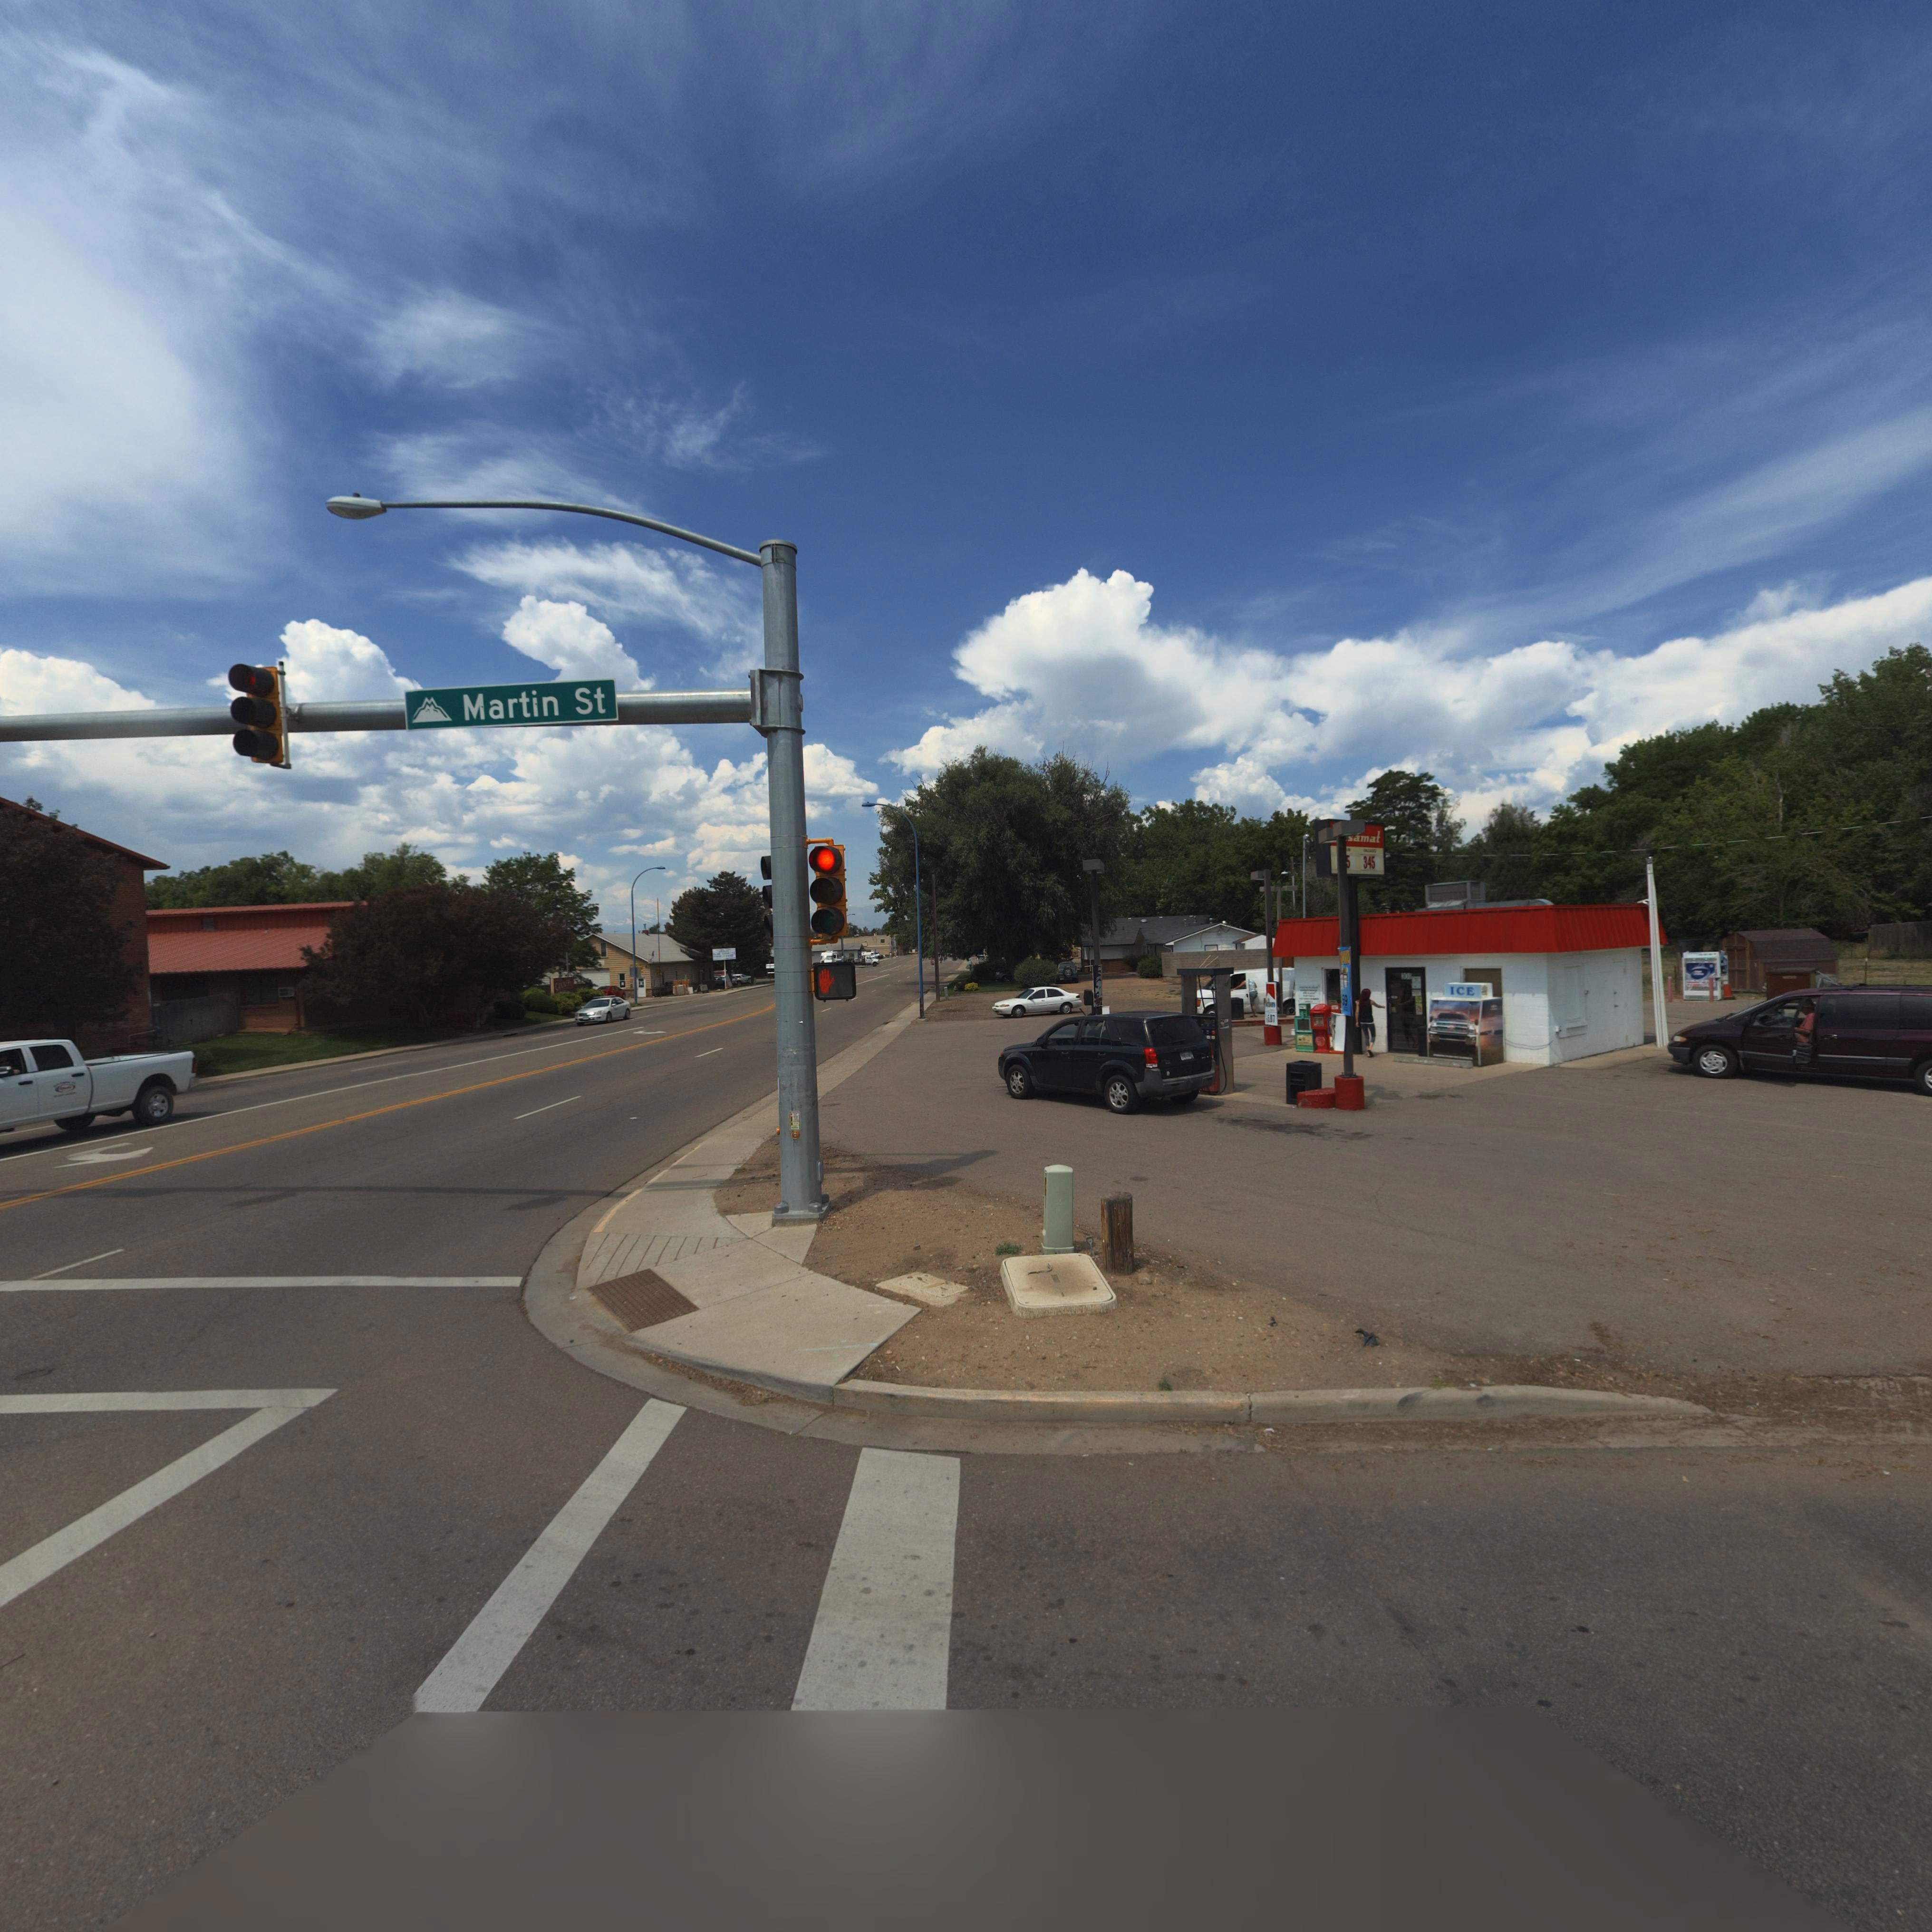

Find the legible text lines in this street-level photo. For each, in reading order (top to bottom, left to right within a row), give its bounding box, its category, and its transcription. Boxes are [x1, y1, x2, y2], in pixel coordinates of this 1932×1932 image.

[459, 684, 608, 724] StreetName: Martin St
[1347, 830, 1381, 843] BusinessName: samat
[1362, 855, 1376, 869] BusinessName: samat